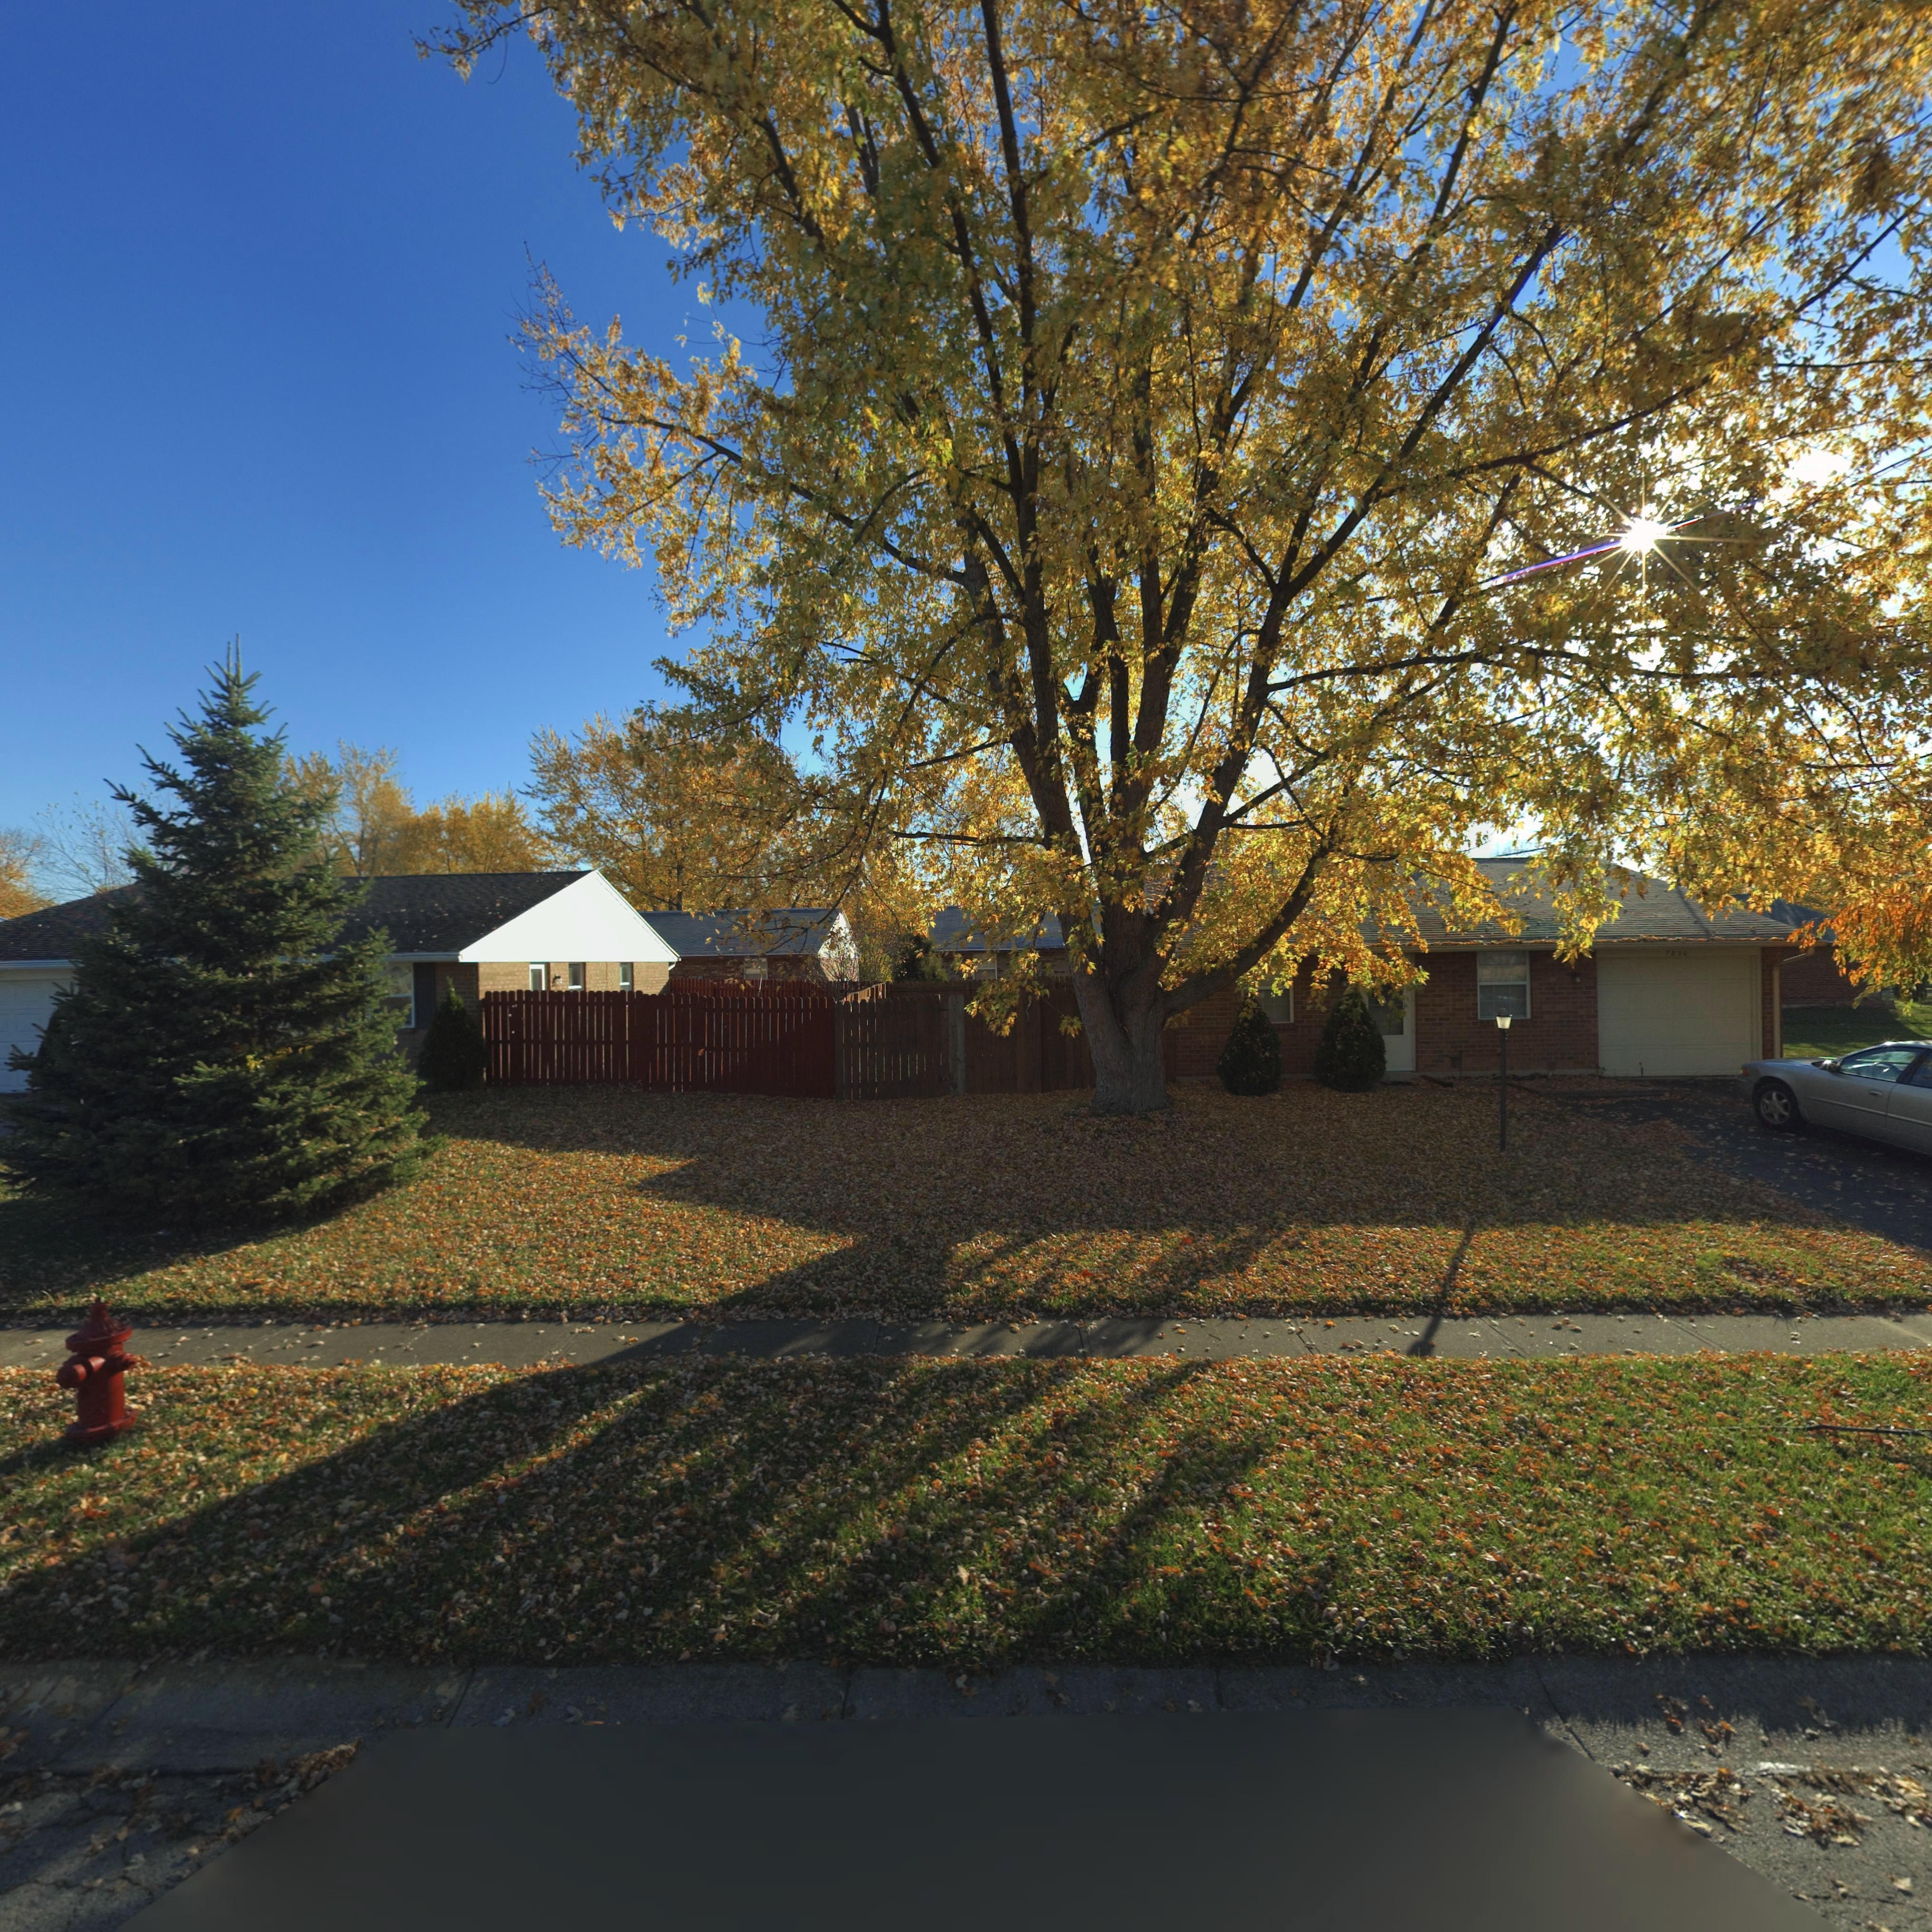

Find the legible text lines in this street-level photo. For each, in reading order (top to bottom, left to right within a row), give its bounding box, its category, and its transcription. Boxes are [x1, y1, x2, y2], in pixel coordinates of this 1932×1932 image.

[1663, 949, 1689, 958] StreetNumber: ***0